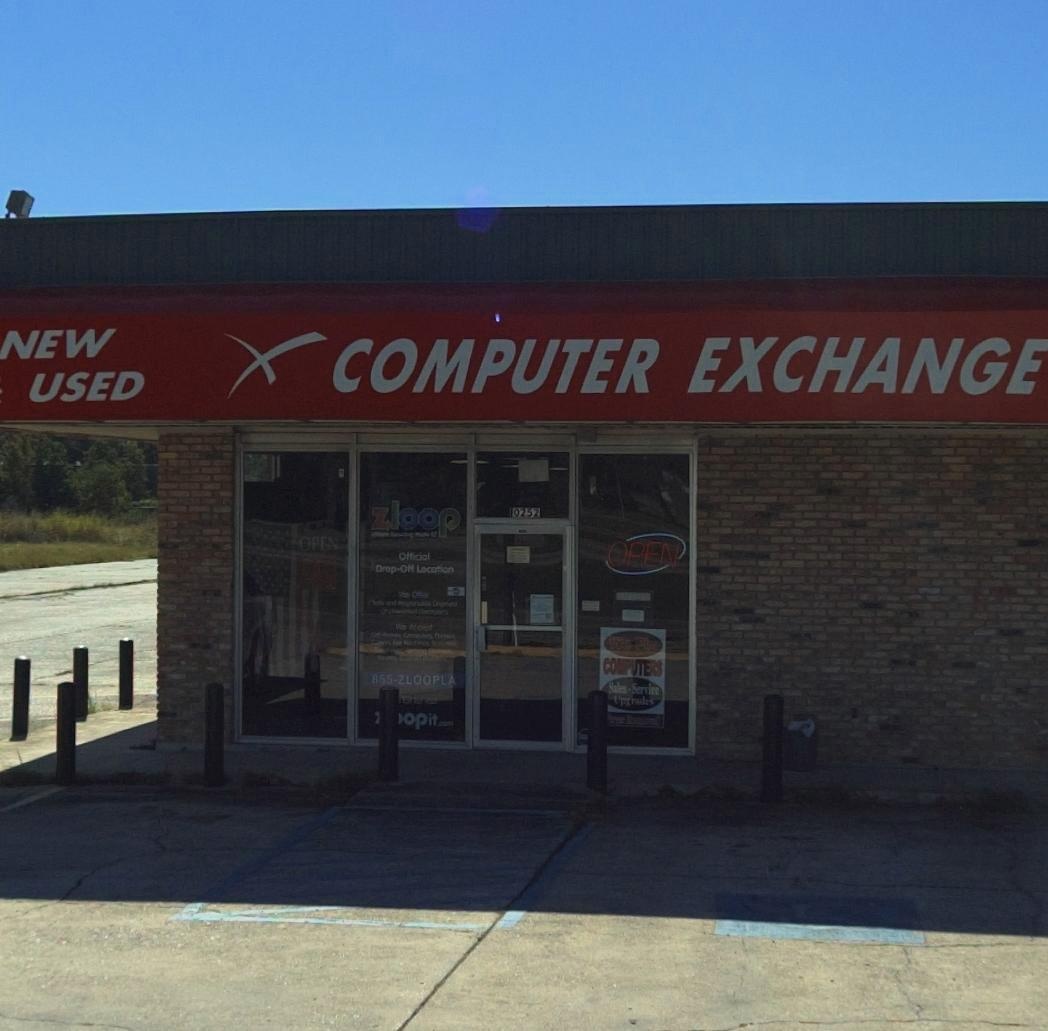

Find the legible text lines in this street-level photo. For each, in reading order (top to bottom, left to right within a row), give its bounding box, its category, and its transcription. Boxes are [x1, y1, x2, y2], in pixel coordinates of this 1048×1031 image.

[0, 326, 119, 362] None: NEW
[329, 334, 1048, 396] None: COMPUTER EXCHANGE
[24, 368, 147, 406] None: USED
[369, 497, 464, 542] BusinessName: zloop
[508, 506, 540, 519] StreetNumber: 10252
[297, 533, 340, 553] None: OPEN
[397, 549, 433, 563] None: Official
[606, 539, 682, 570] None: OPEN
[374, 562, 457, 576] None: Drop-Off Location
[599, 655, 665, 679] None: COMPUTERS
[370, 671, 458, 688] None: 855-ZLOOPLA
[629, 681, 663, 697] None: Service
[401, 709, 456, 733] None: opit.com